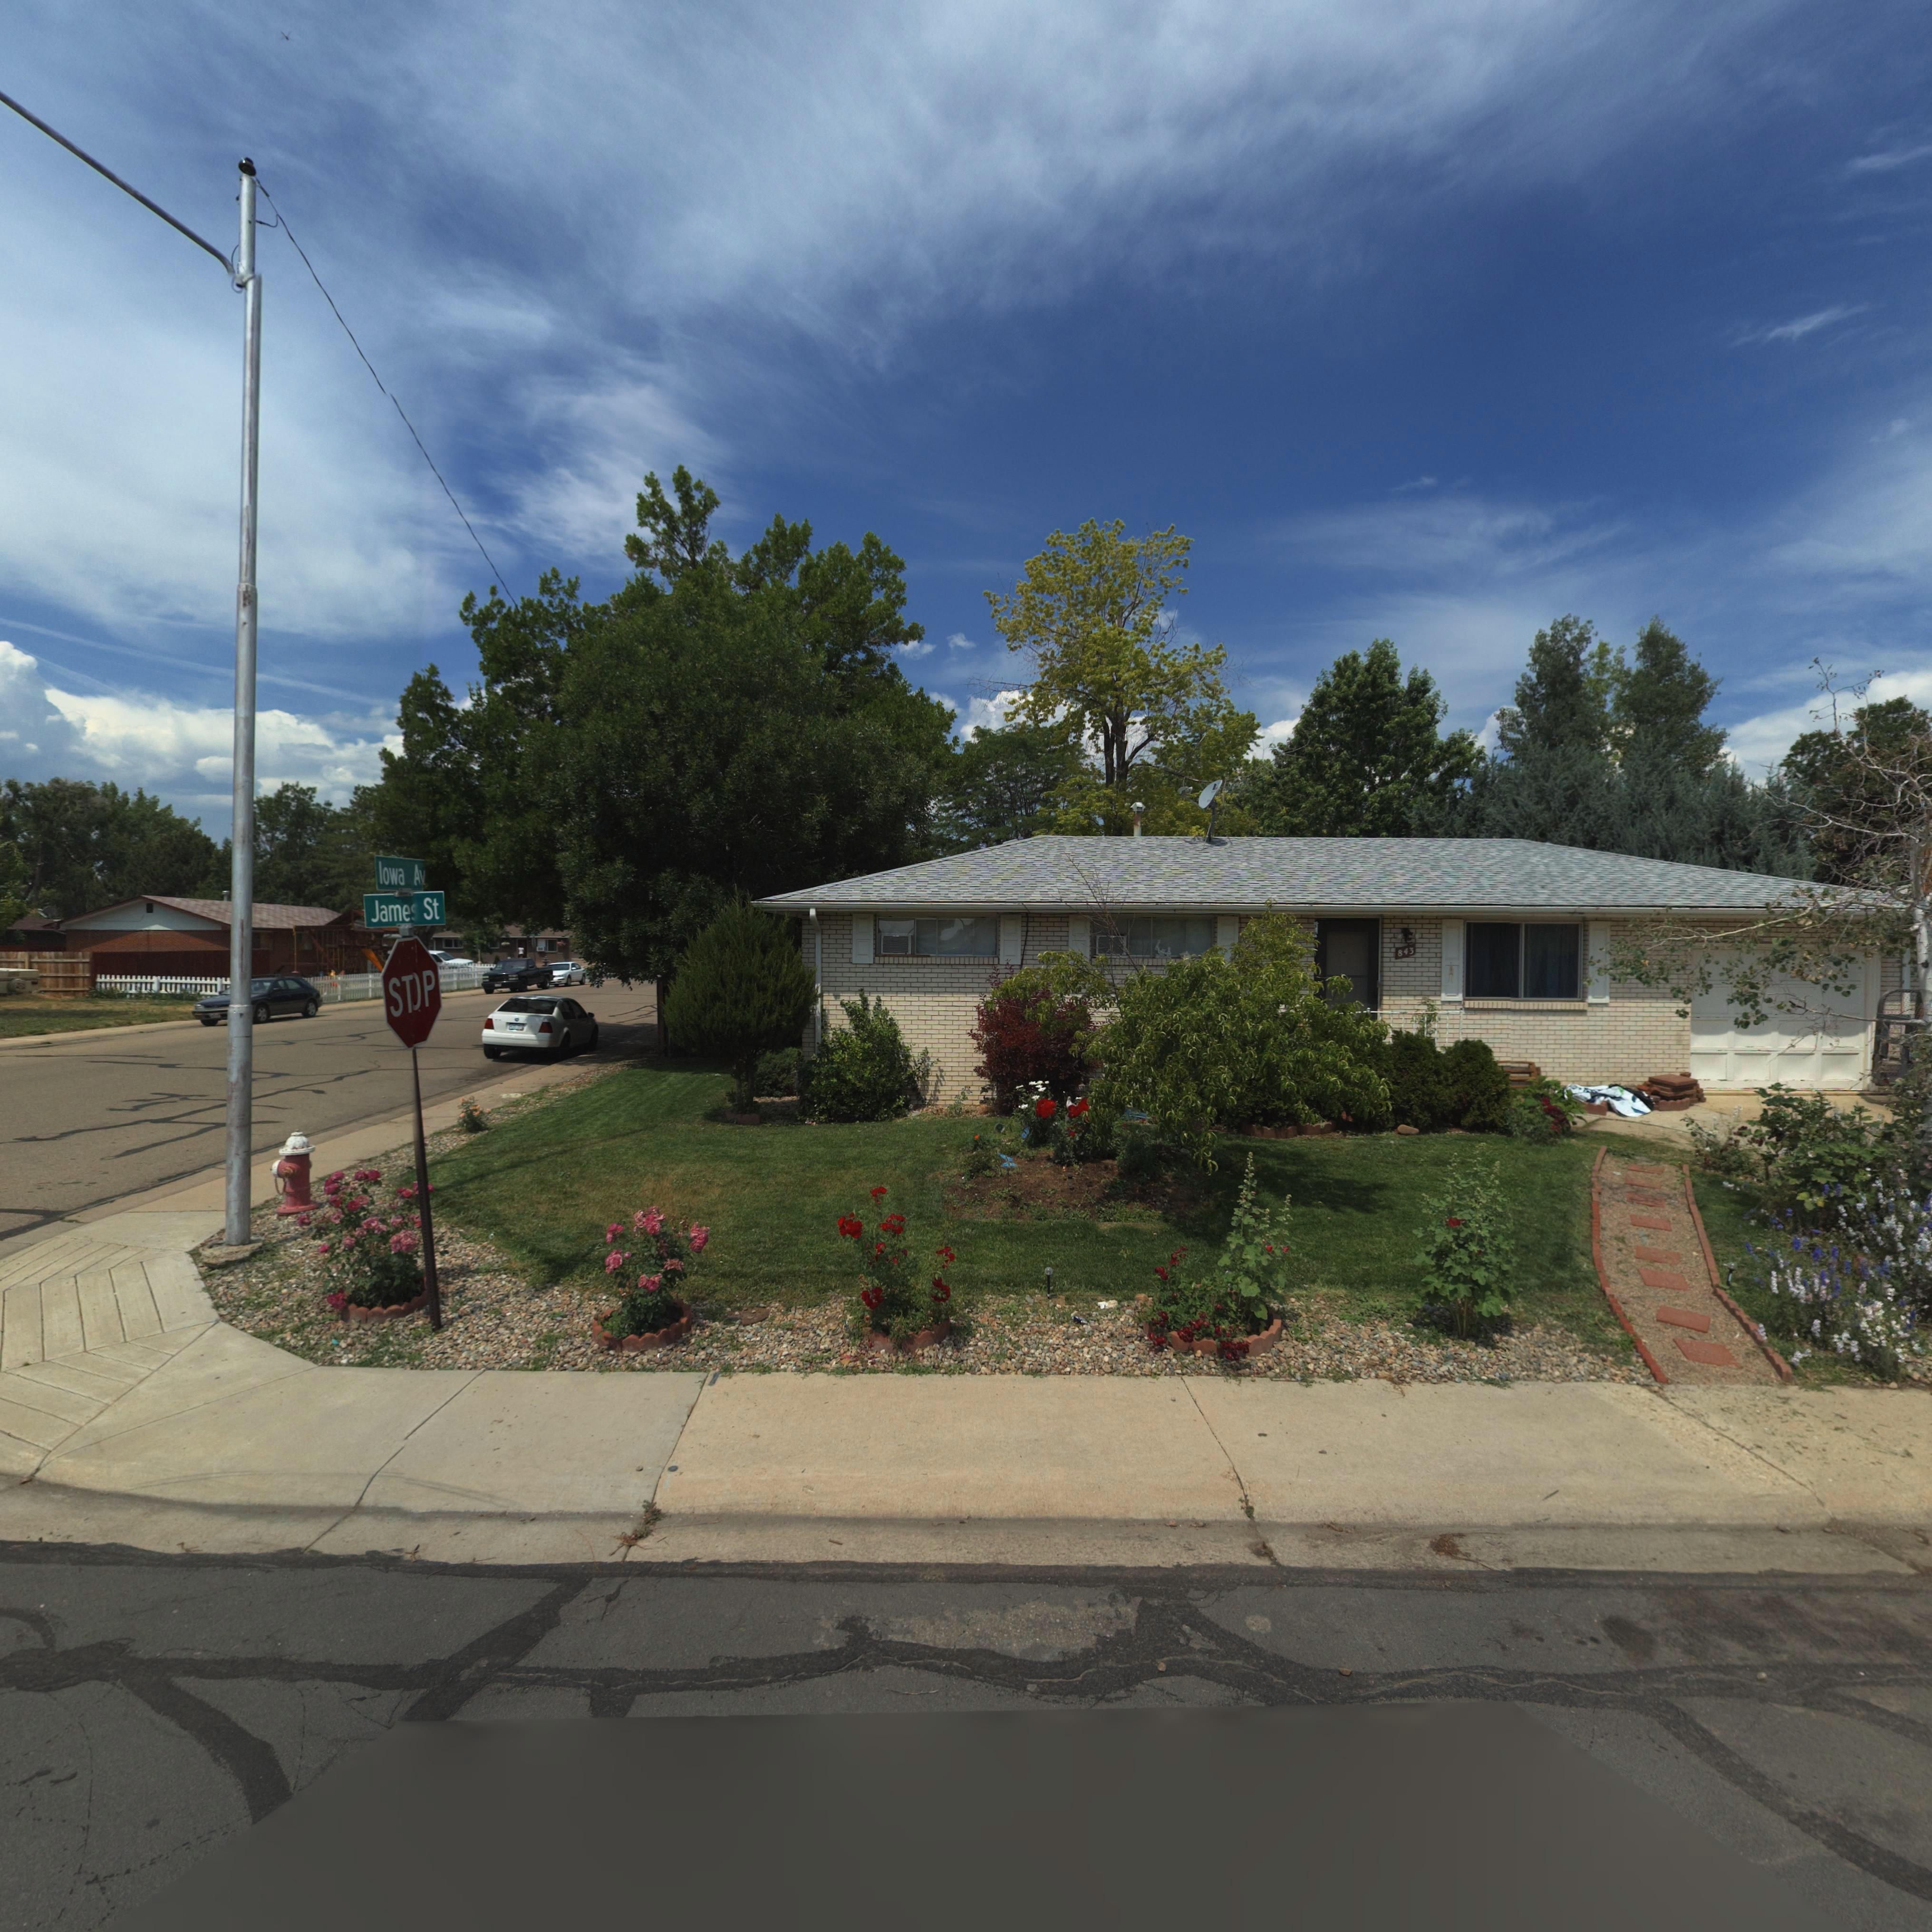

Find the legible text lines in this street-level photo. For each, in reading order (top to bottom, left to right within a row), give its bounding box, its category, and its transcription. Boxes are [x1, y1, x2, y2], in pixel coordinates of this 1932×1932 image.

[378, 860, 425, 886] StreetName: Iowa Av
[370, 897, 440, 923] StreetName: James St
[1398, 947, 1414, 956] StreetNumber: 843